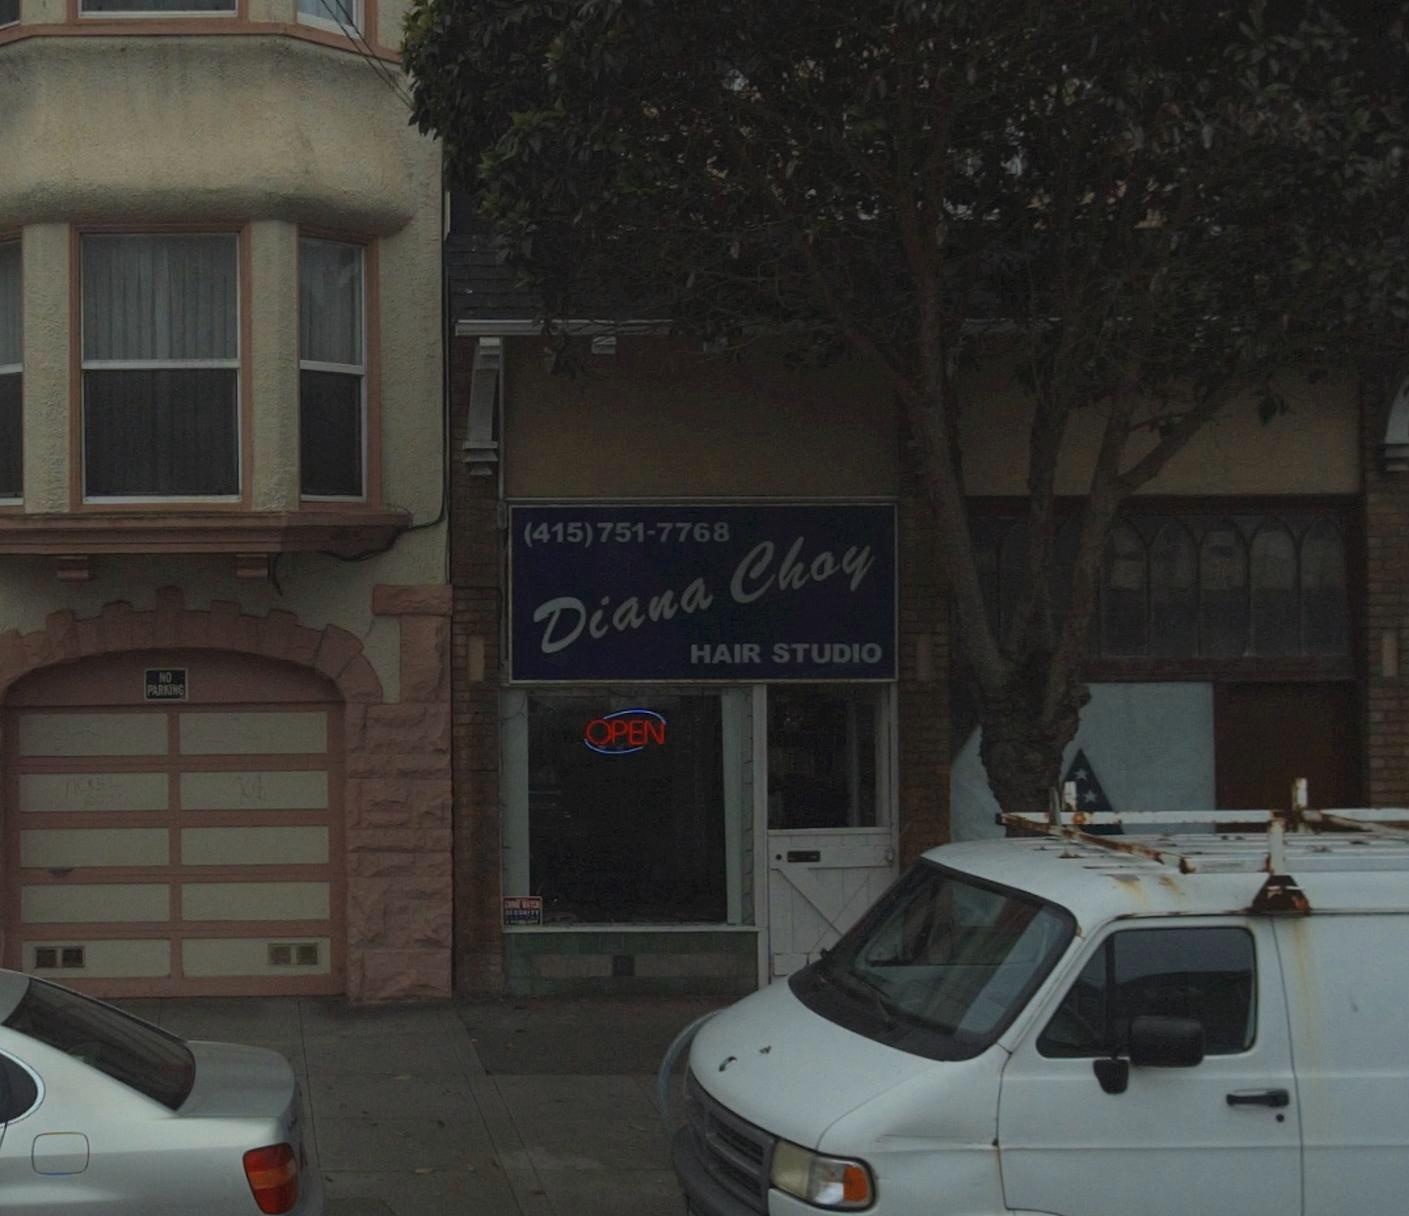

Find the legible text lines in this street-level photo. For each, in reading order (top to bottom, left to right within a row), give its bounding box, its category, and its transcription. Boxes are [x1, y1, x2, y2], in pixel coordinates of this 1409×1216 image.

[521, 517, 733, 551] None: (415) 751 7768
[534, 533, 879, 657] BusinessName: DianaChoy
[688, 639, 886, 668] BusinessName: HAIR STUDIO
[145, 682, 186, 698] None: PA***NG
[158, 669, 175, 685] None: NO
[582, 717, 667, 749] None: OPEN